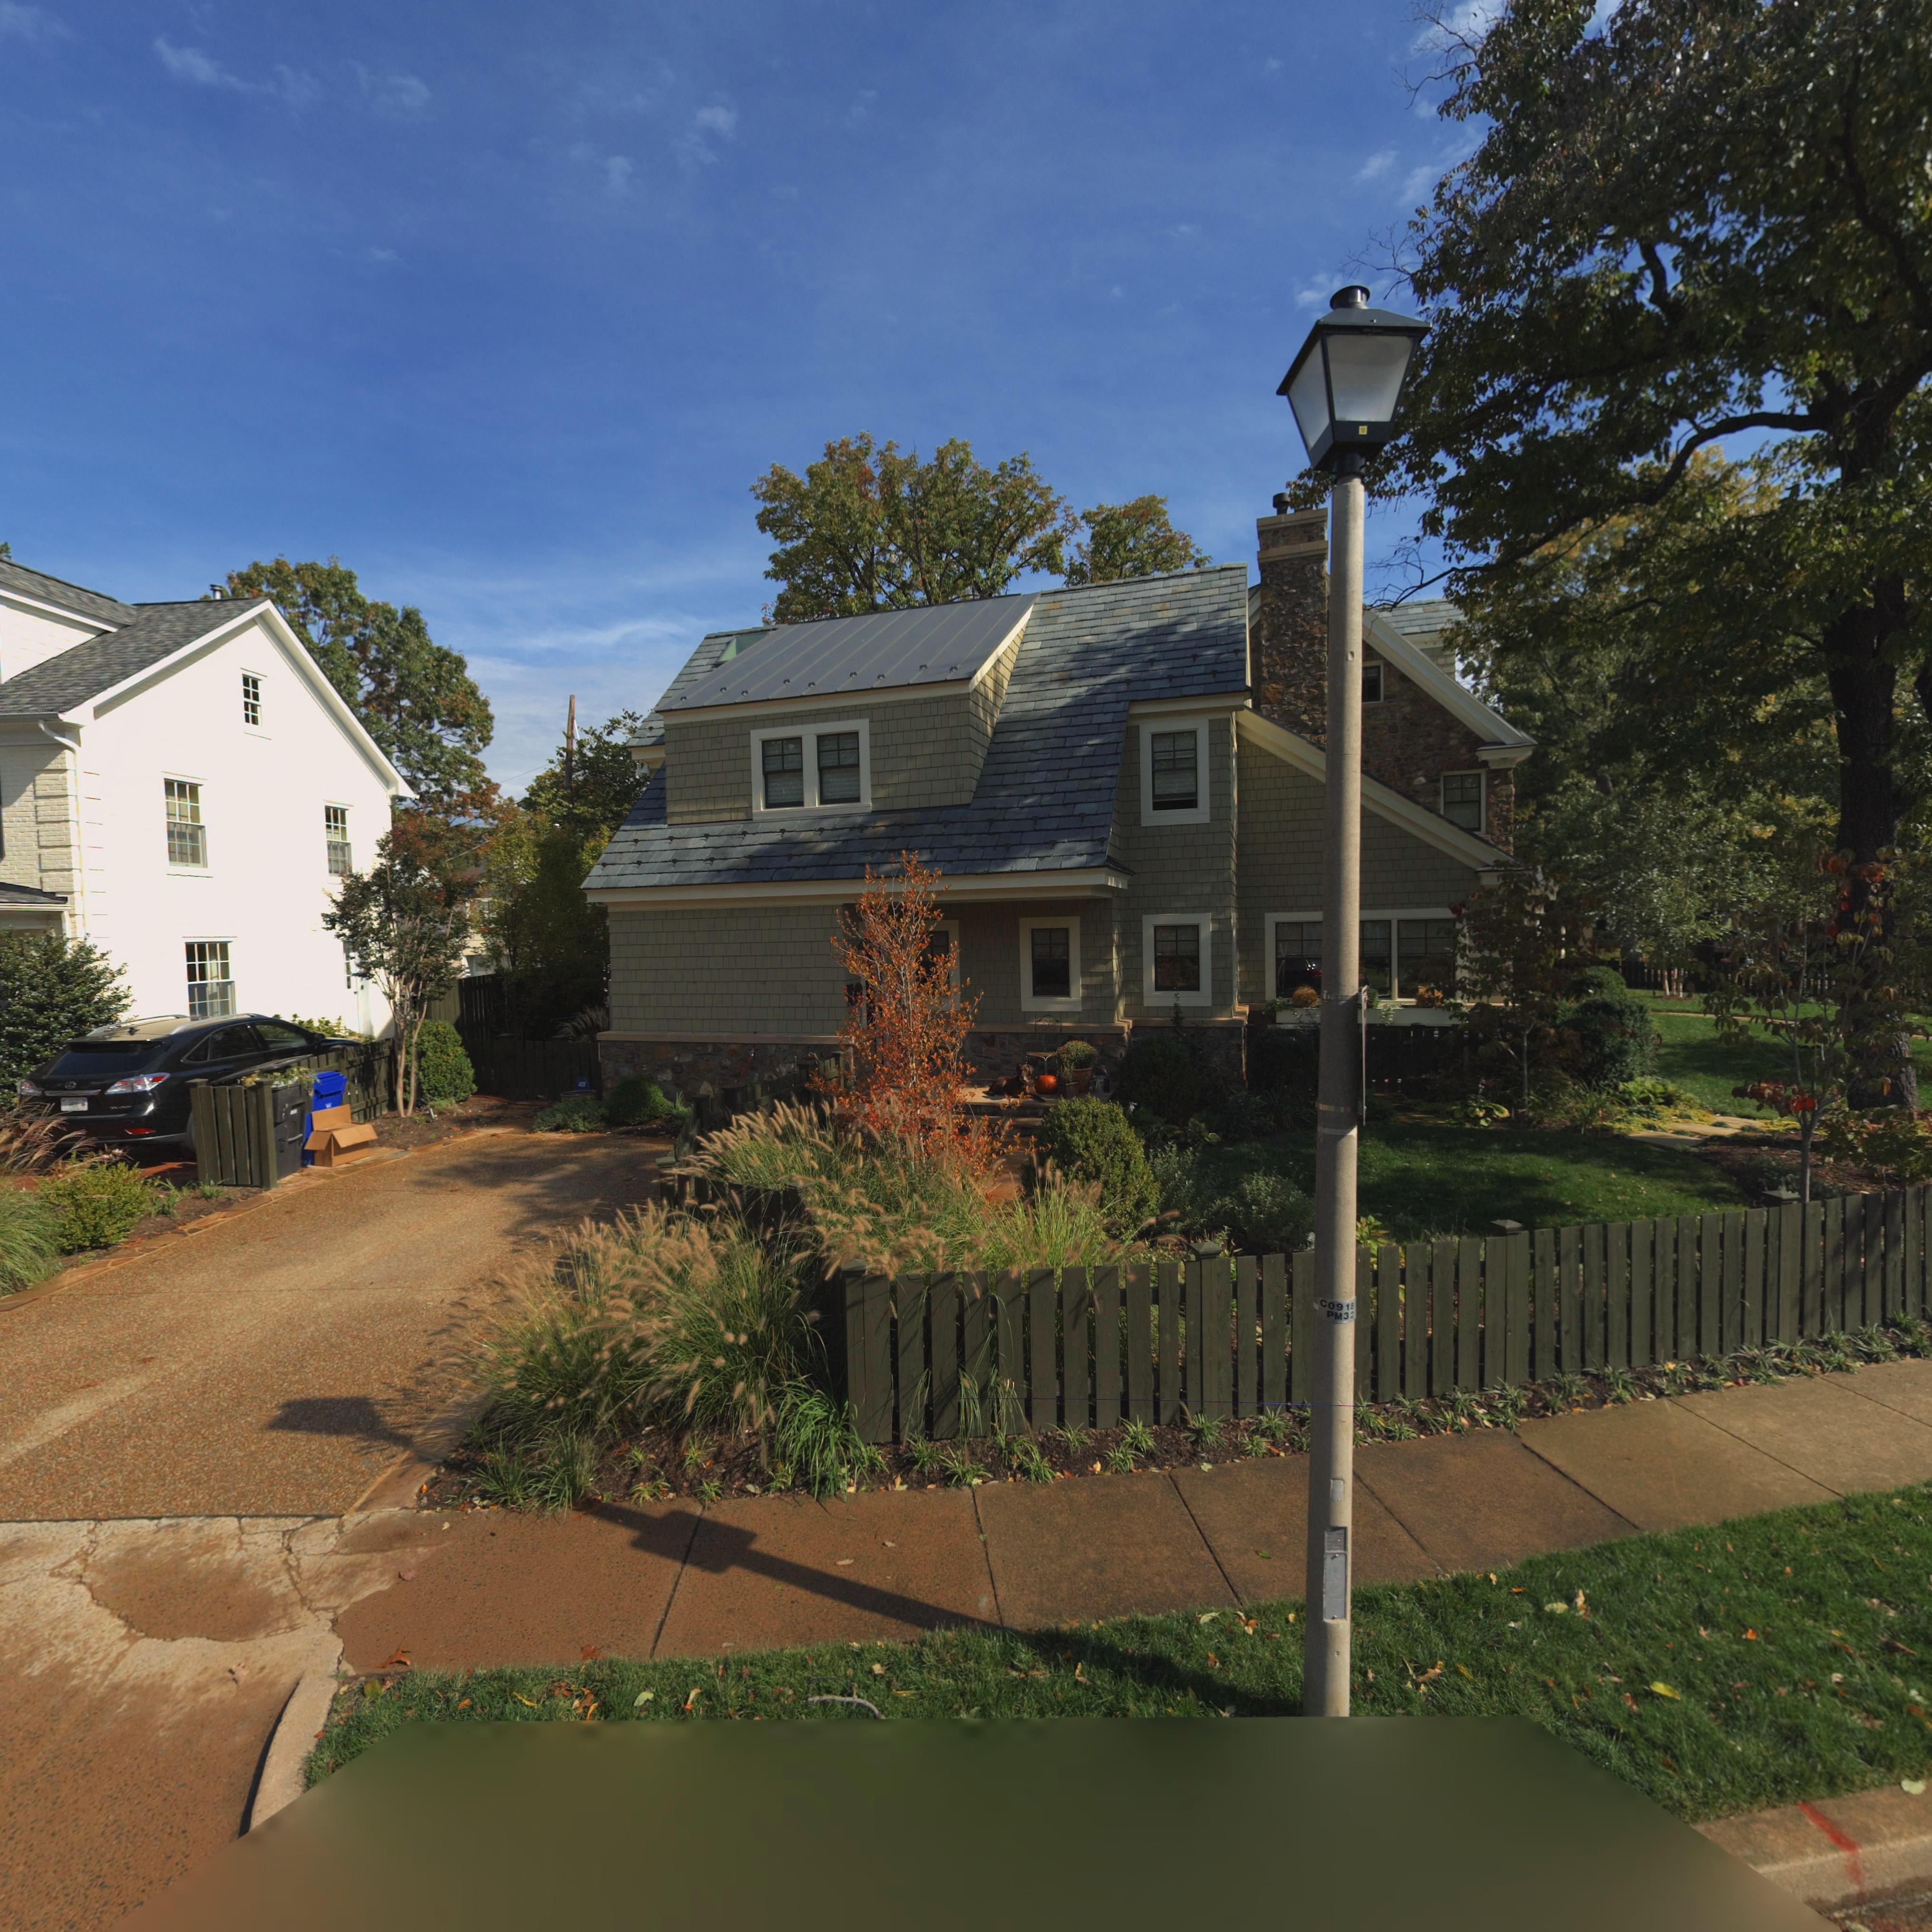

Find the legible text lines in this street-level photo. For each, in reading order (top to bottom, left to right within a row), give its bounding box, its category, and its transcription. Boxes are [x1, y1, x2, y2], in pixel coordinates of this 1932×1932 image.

[1318, 1297, 1355, 1313] None: co91
[1325, 1310, 1355, 1322] None: PM3